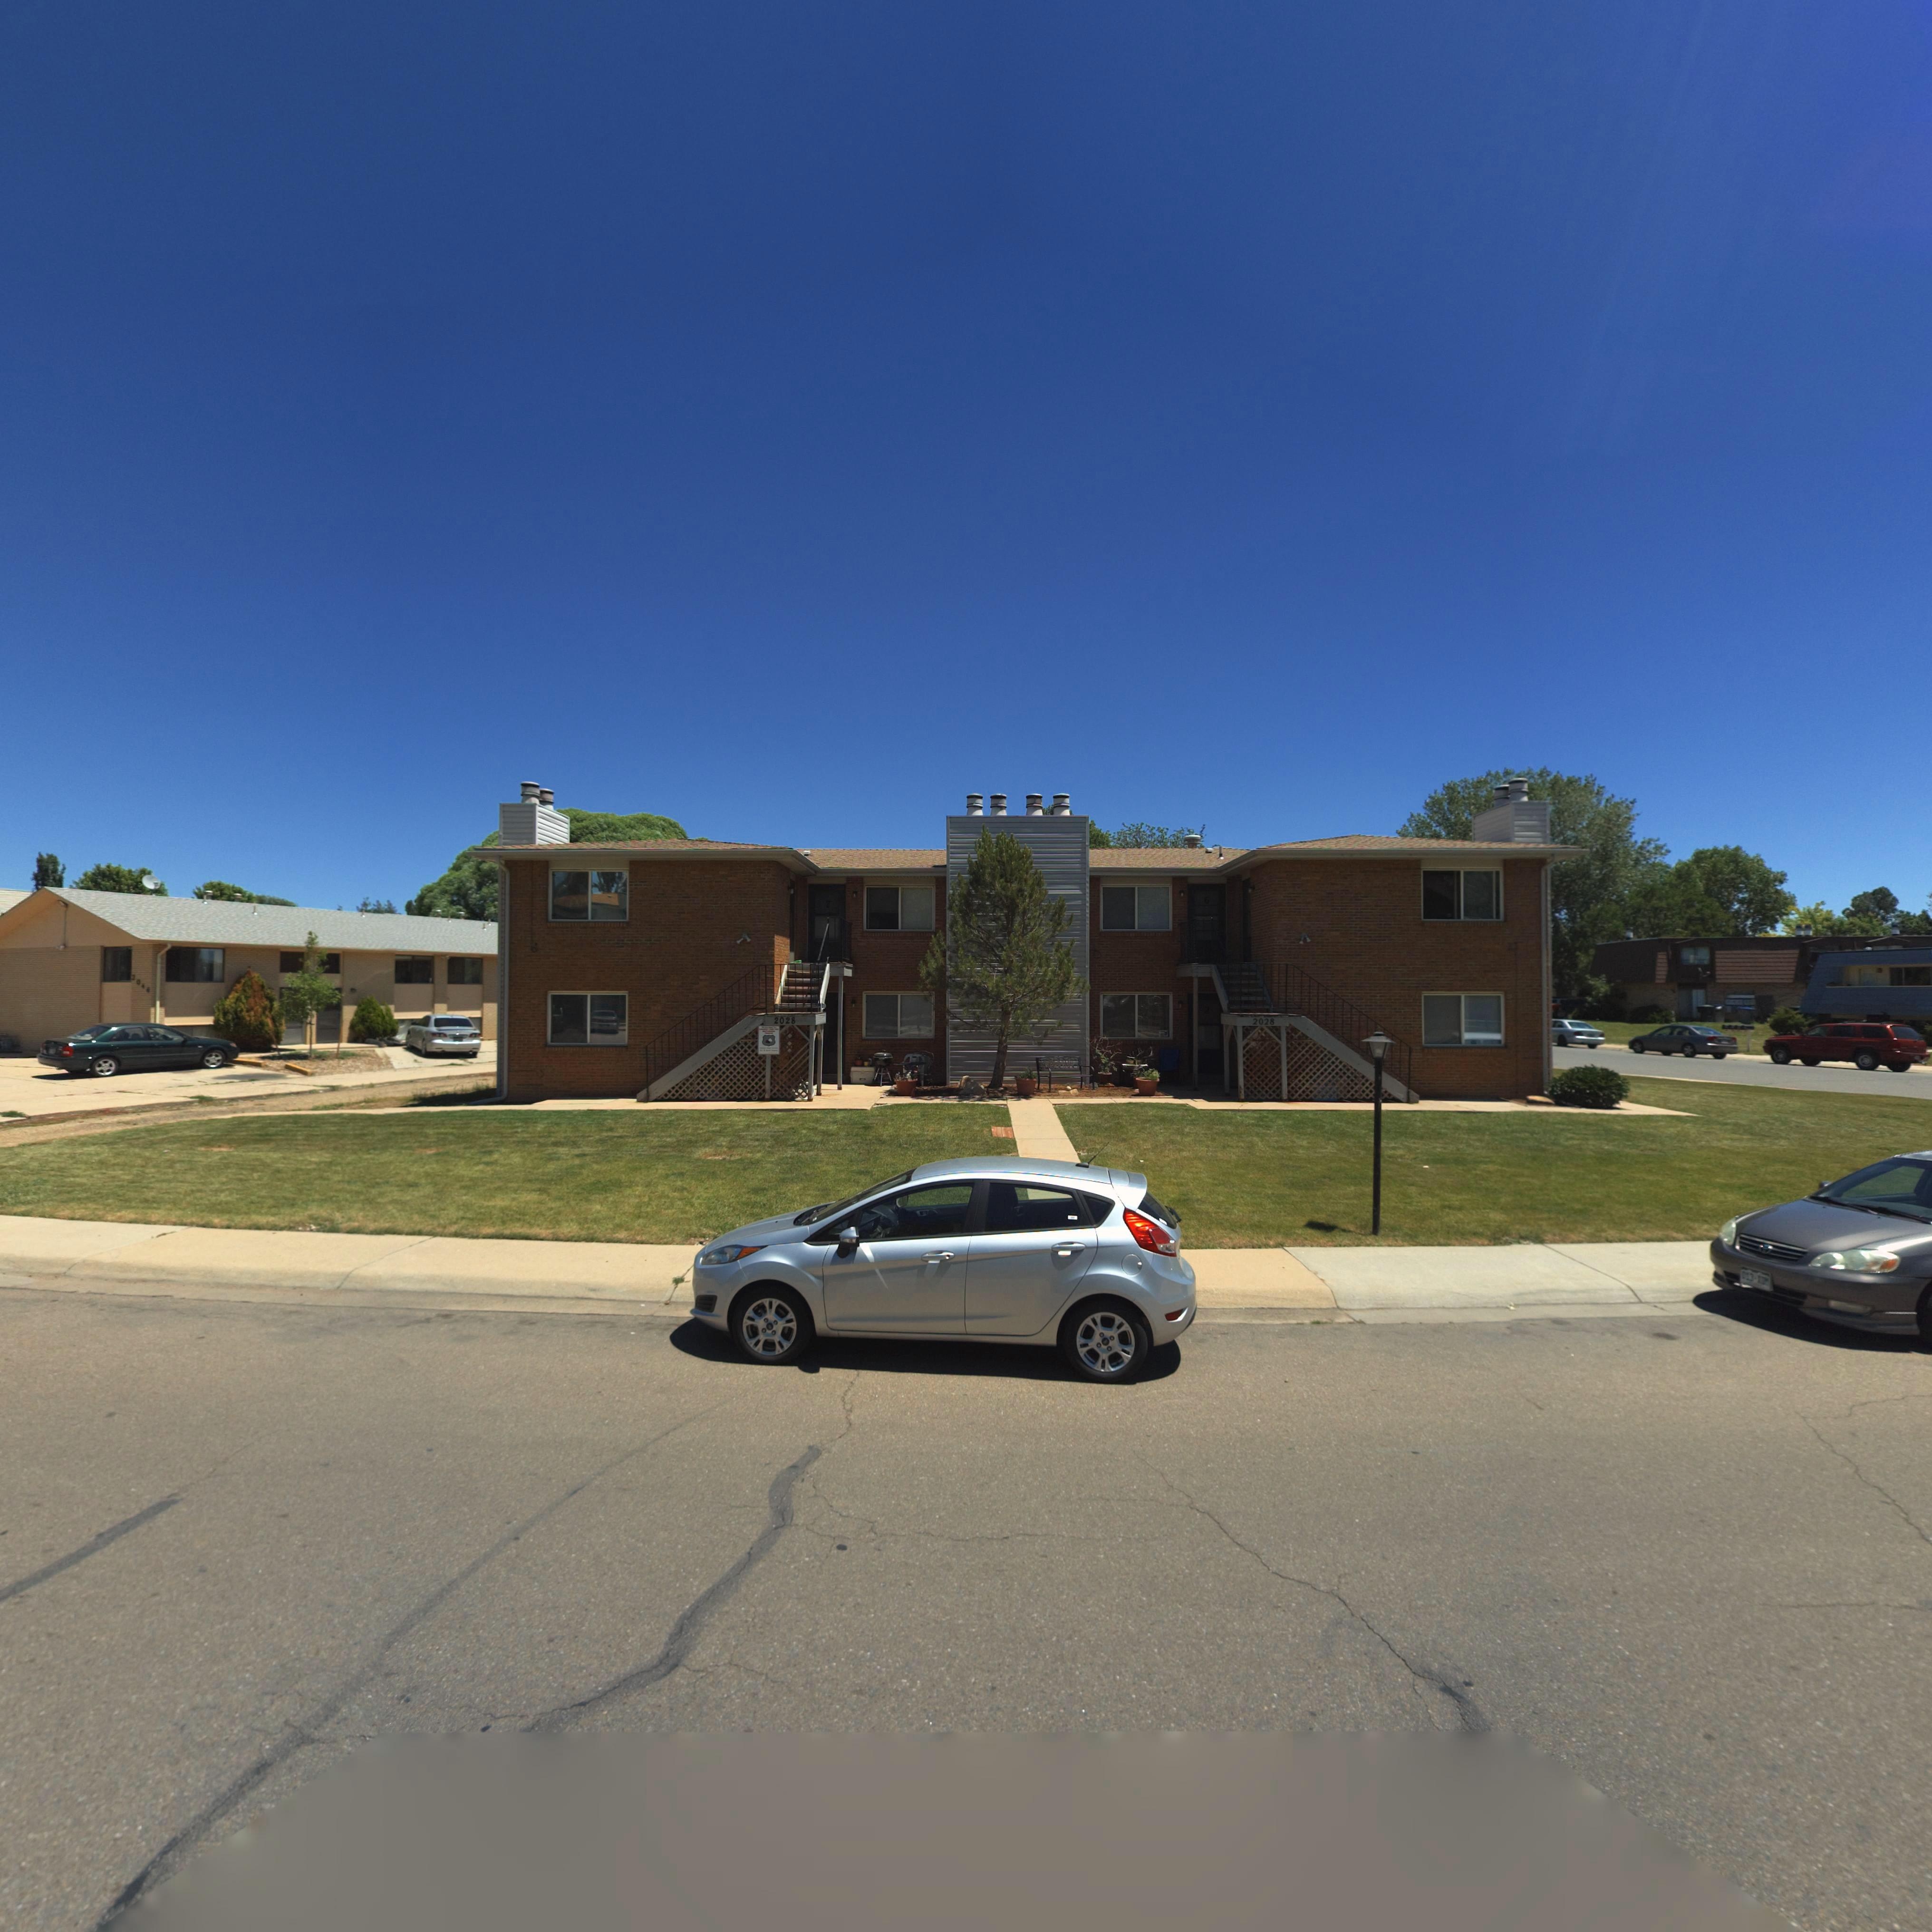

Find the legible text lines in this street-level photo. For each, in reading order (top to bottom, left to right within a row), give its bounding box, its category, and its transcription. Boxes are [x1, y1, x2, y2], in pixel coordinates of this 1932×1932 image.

[131, 974, 150, 993] StreetNumber: 20**
[773, 1017, 795, 1024] StreetNumber: 2028
[1252, 1018, 1274, 1025] StreetNumber: 2028